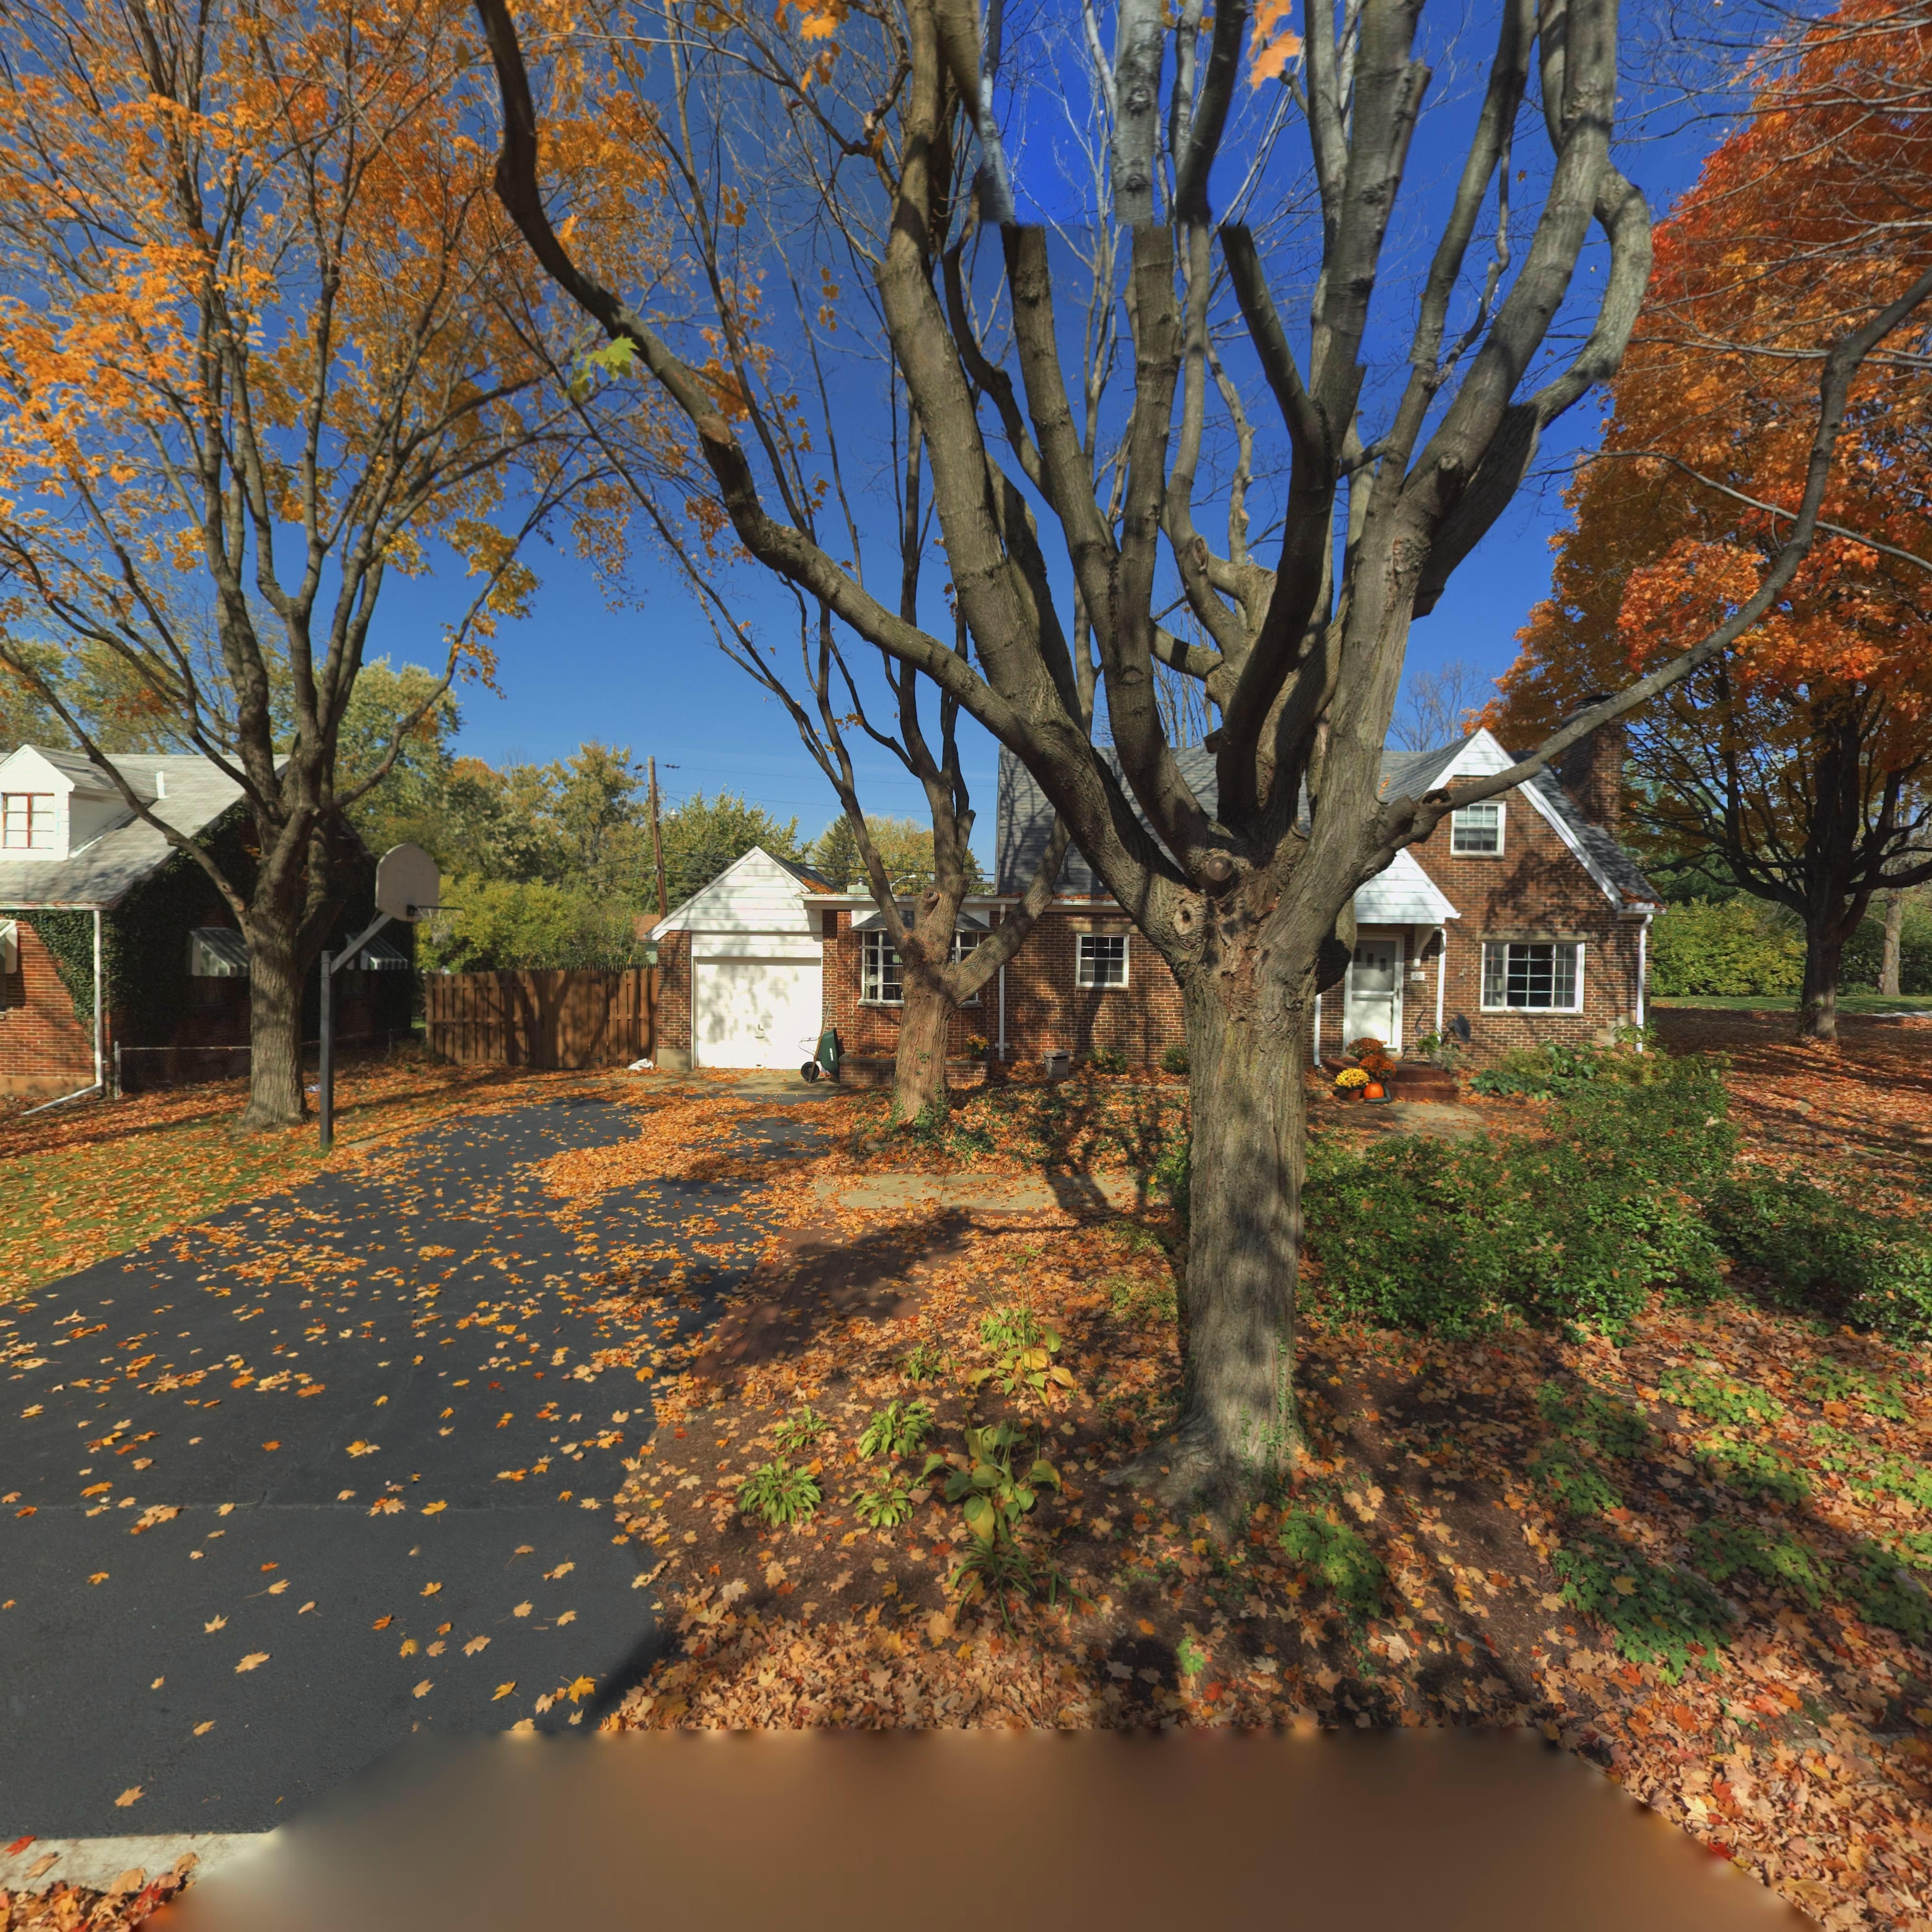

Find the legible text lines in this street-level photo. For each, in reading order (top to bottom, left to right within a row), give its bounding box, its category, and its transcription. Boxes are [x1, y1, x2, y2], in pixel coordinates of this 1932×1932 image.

[1412, 973, 1423, 980] StreetNumber: 621